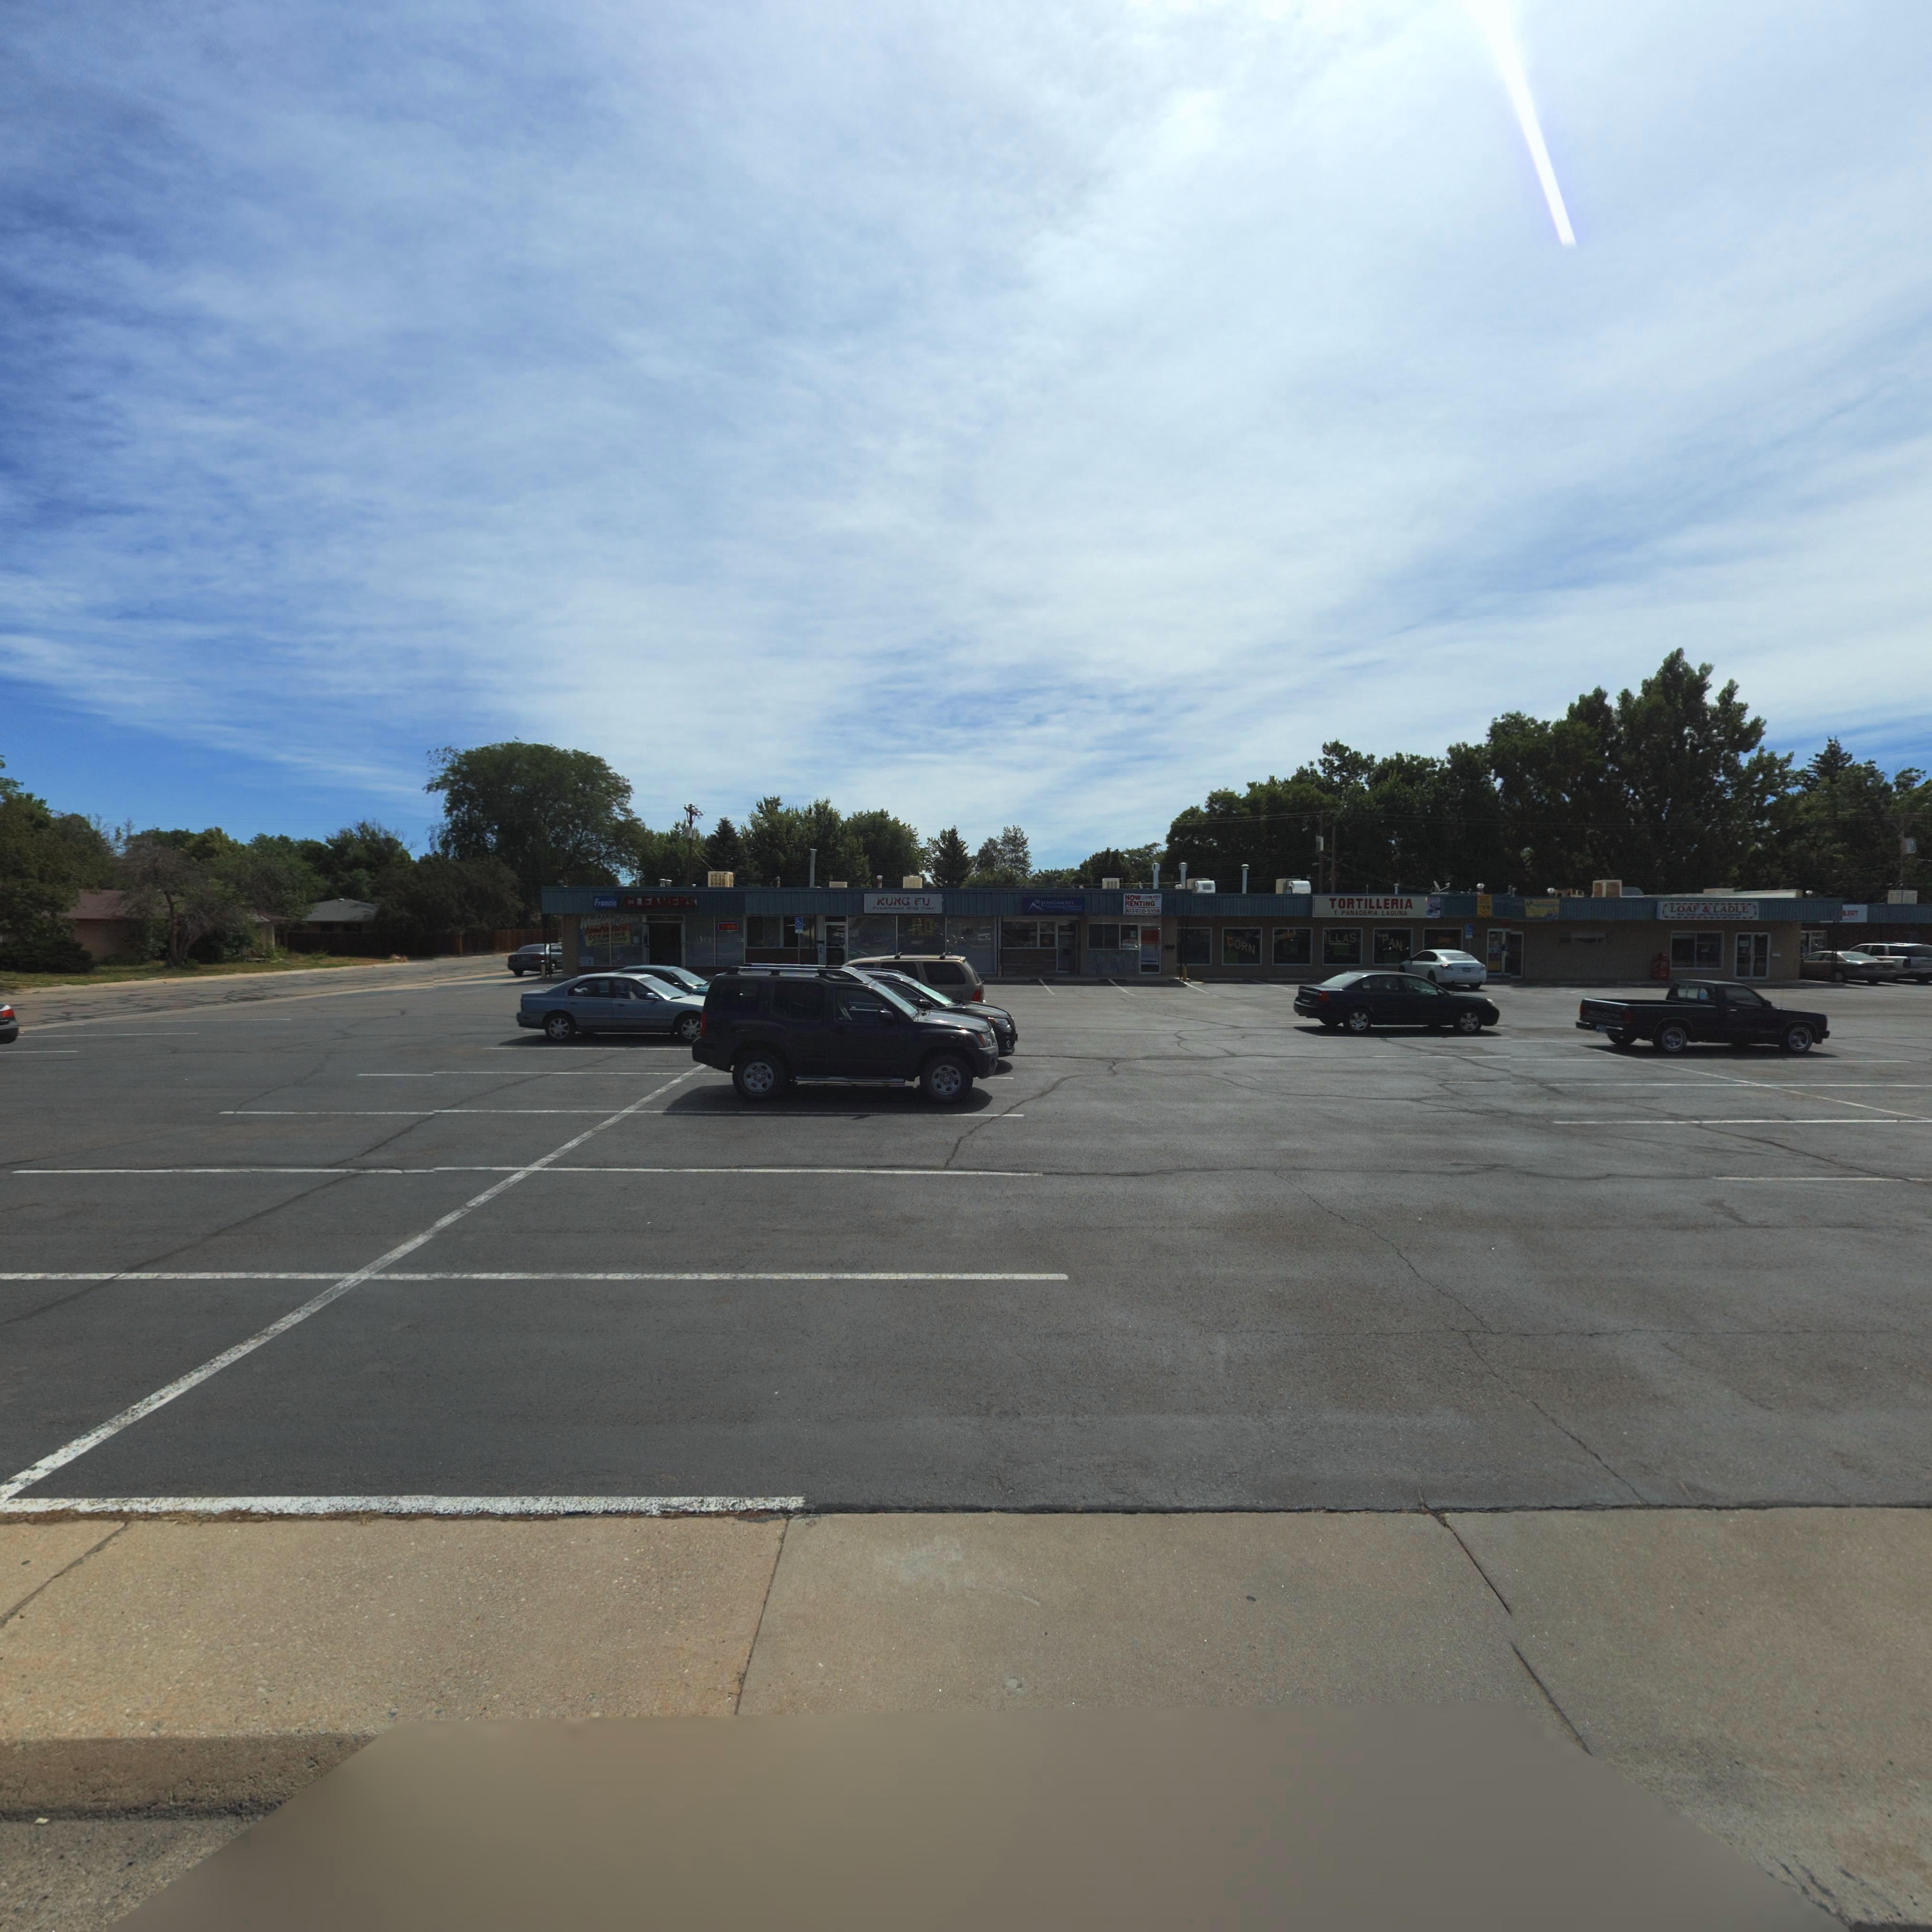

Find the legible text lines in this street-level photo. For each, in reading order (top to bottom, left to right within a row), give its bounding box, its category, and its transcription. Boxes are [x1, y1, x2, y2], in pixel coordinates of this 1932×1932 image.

[594, 898, 617, 906] BusinessName: Francis
[623, 896, 696, 909] BusinessName: CLEANERS
[876, 897, 930, 906] BusinessName: KUNG FU
[1041, 900, 1075, 907] BusinessName: LONGMONT
[1328, 898, 1413, 909] BusinessName: TORTILLERIA
[1333, 910, 1408, 916] BusinessName: Y PANADERIA LAGUNA
[1670, 905, 1749, 913] BusinessName: LOAF & LADLE
[1844, 910, 1858, 916] BusinessName: LERT